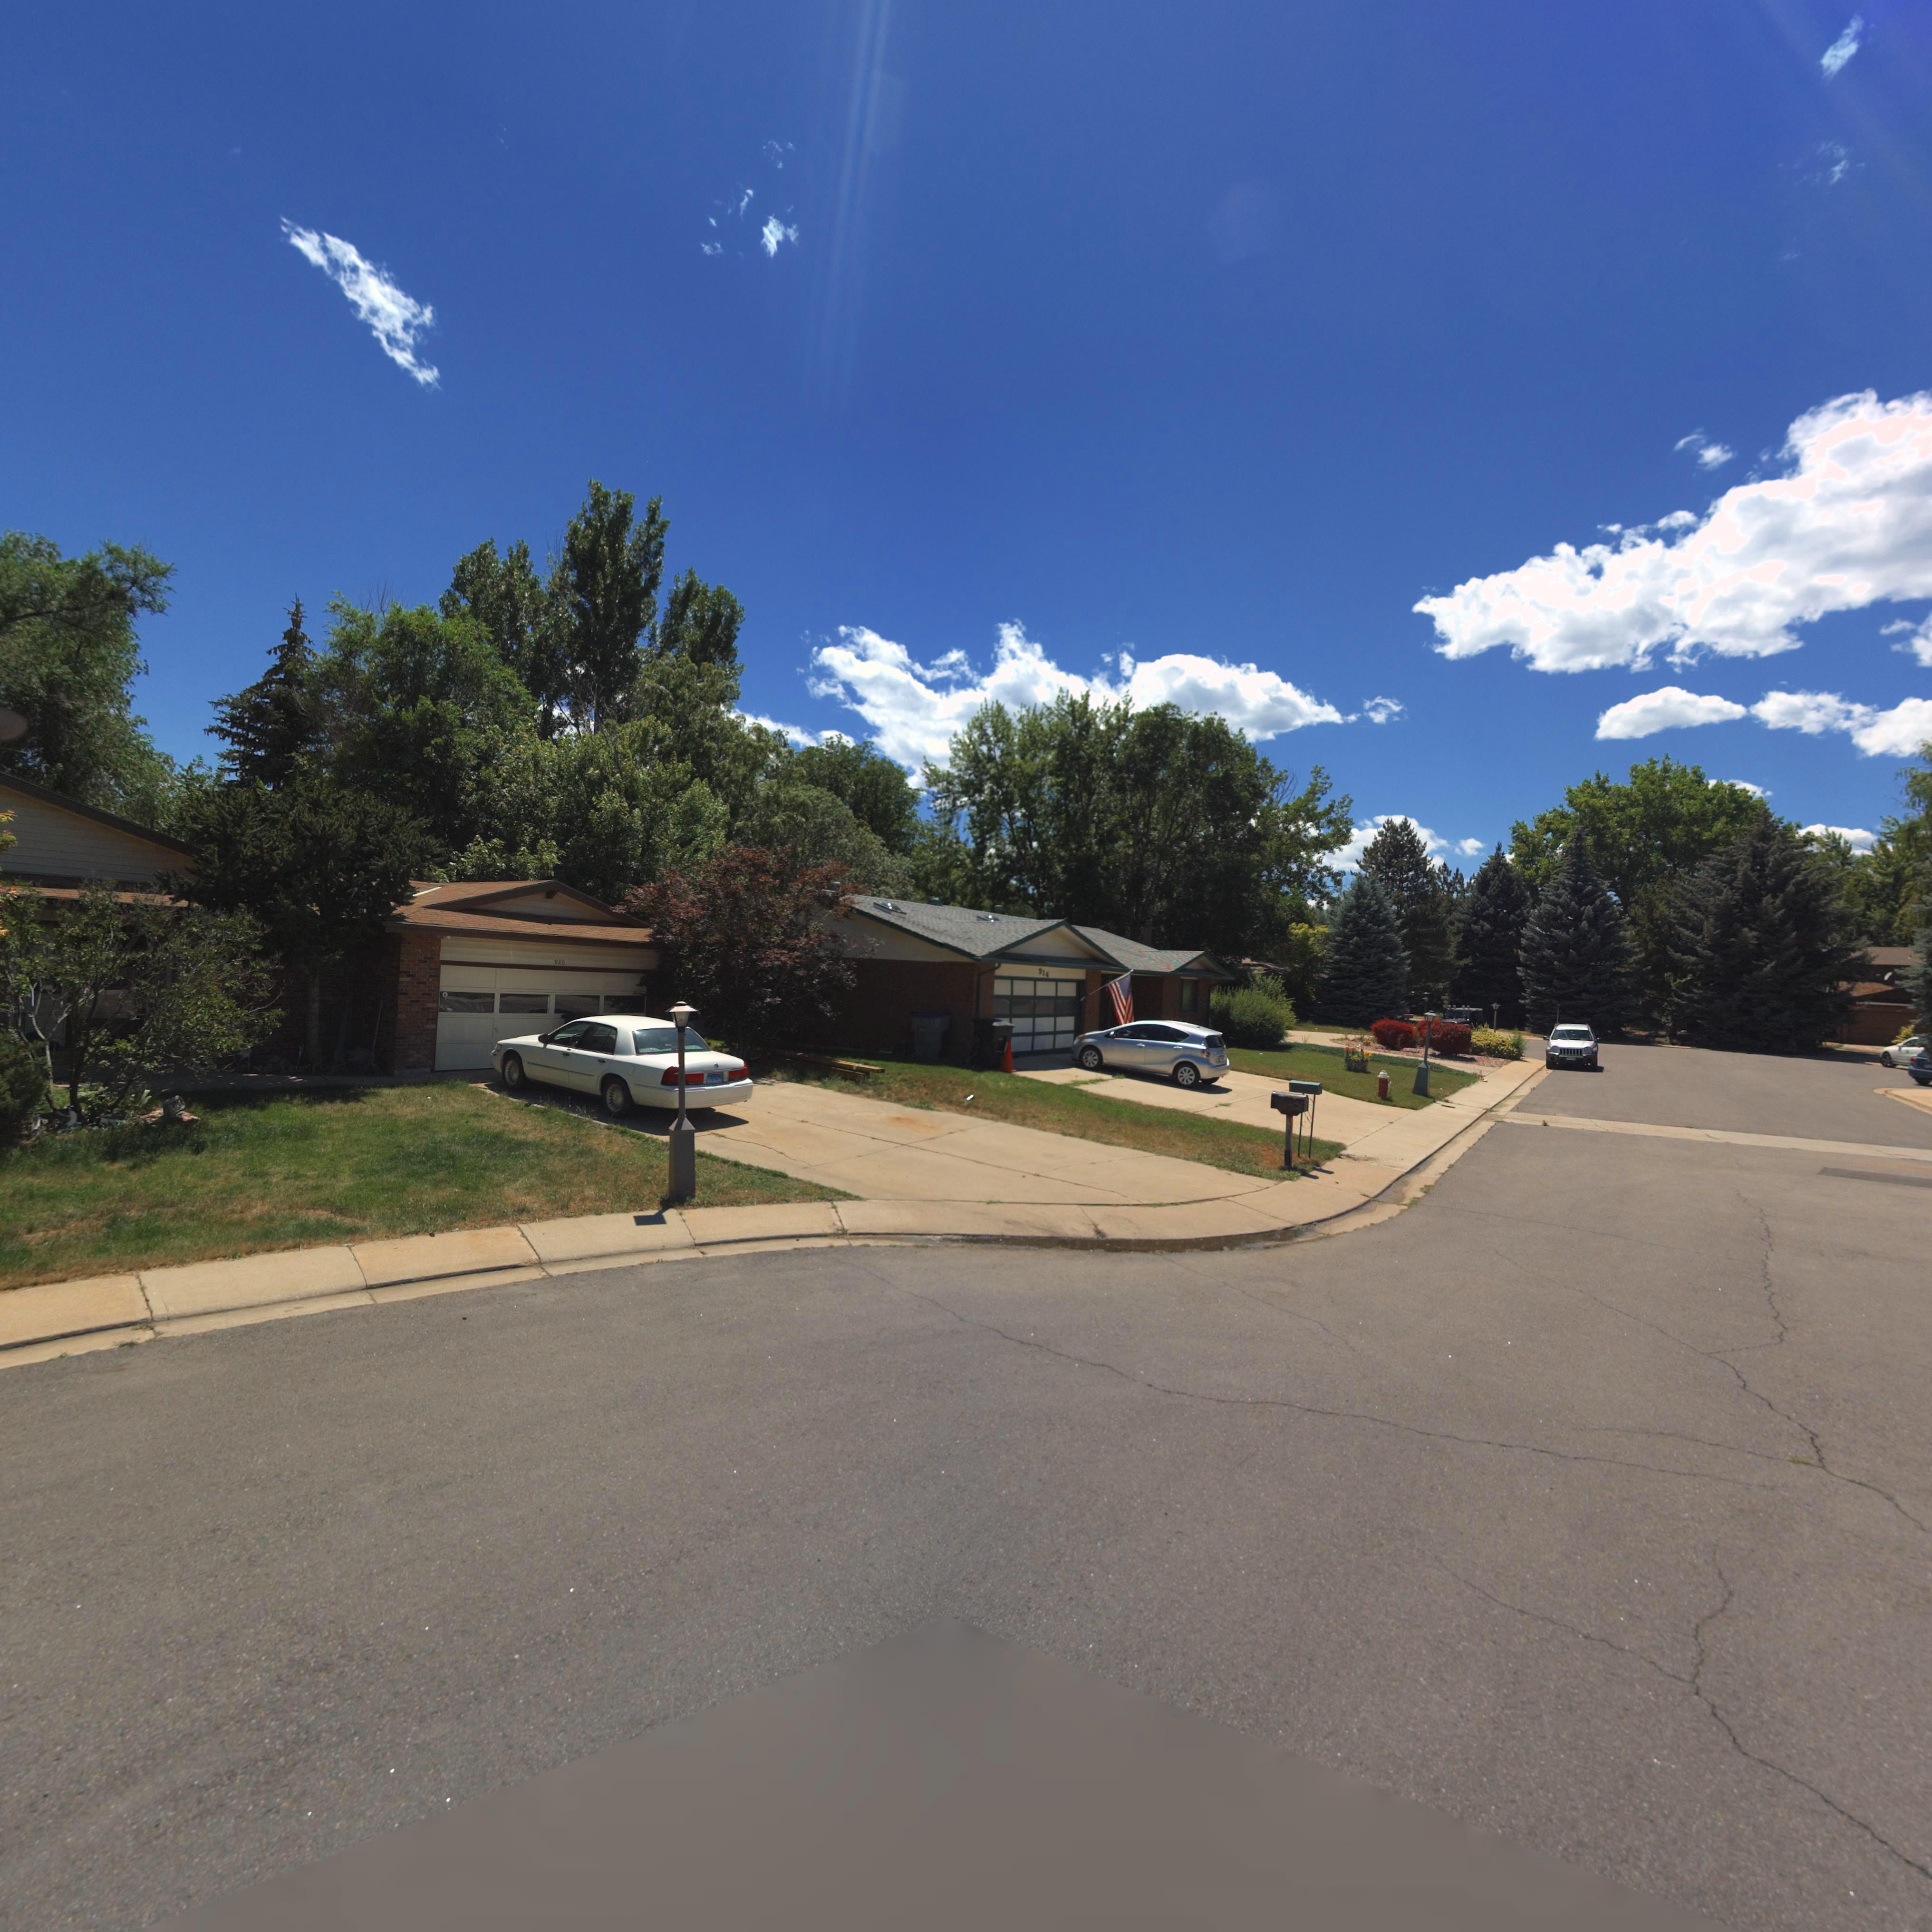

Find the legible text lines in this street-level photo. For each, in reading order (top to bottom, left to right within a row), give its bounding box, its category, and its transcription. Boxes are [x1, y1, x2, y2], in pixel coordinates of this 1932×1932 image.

[554, 959, 565, 965] StreetNumber: 920
[1038, 967, 1049, 978] StreetNumber: 914